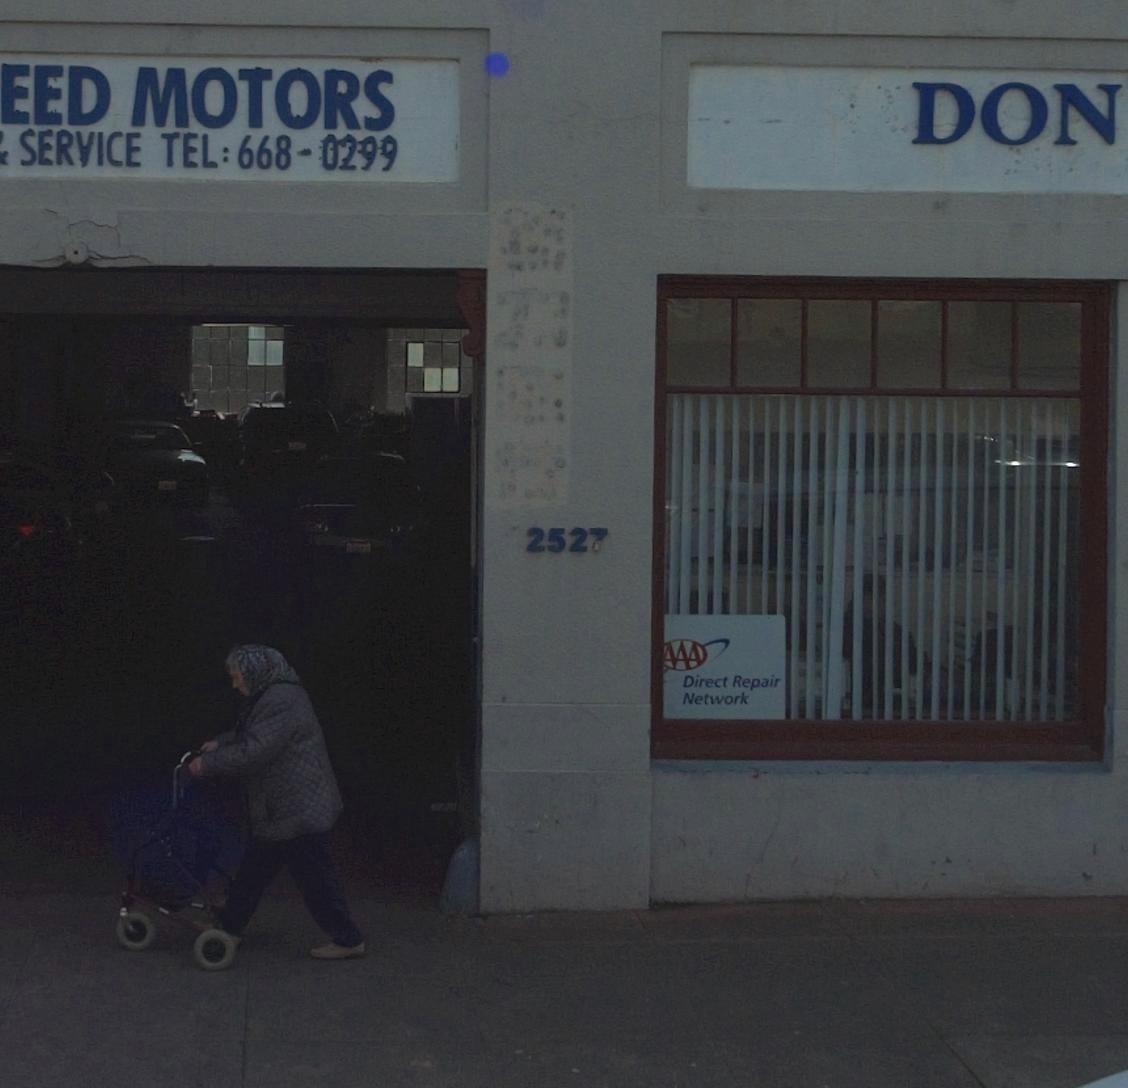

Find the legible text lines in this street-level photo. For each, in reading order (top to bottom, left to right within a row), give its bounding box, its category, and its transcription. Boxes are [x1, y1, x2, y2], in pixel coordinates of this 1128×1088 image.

[0, 61, 397, 132] None: EED MOTORS
[909, 80, 1124, 147] None: DON
[19, 127, 399, 172] None: SERVICE TEL:668-0299
[525, 526, 610, 553] StreetNumber: 2527
[663, 640, 702, 670] None: AAA
[682, 674, 783, 692] None: Direct Repair
[681, 691, 750, 706] None: Network